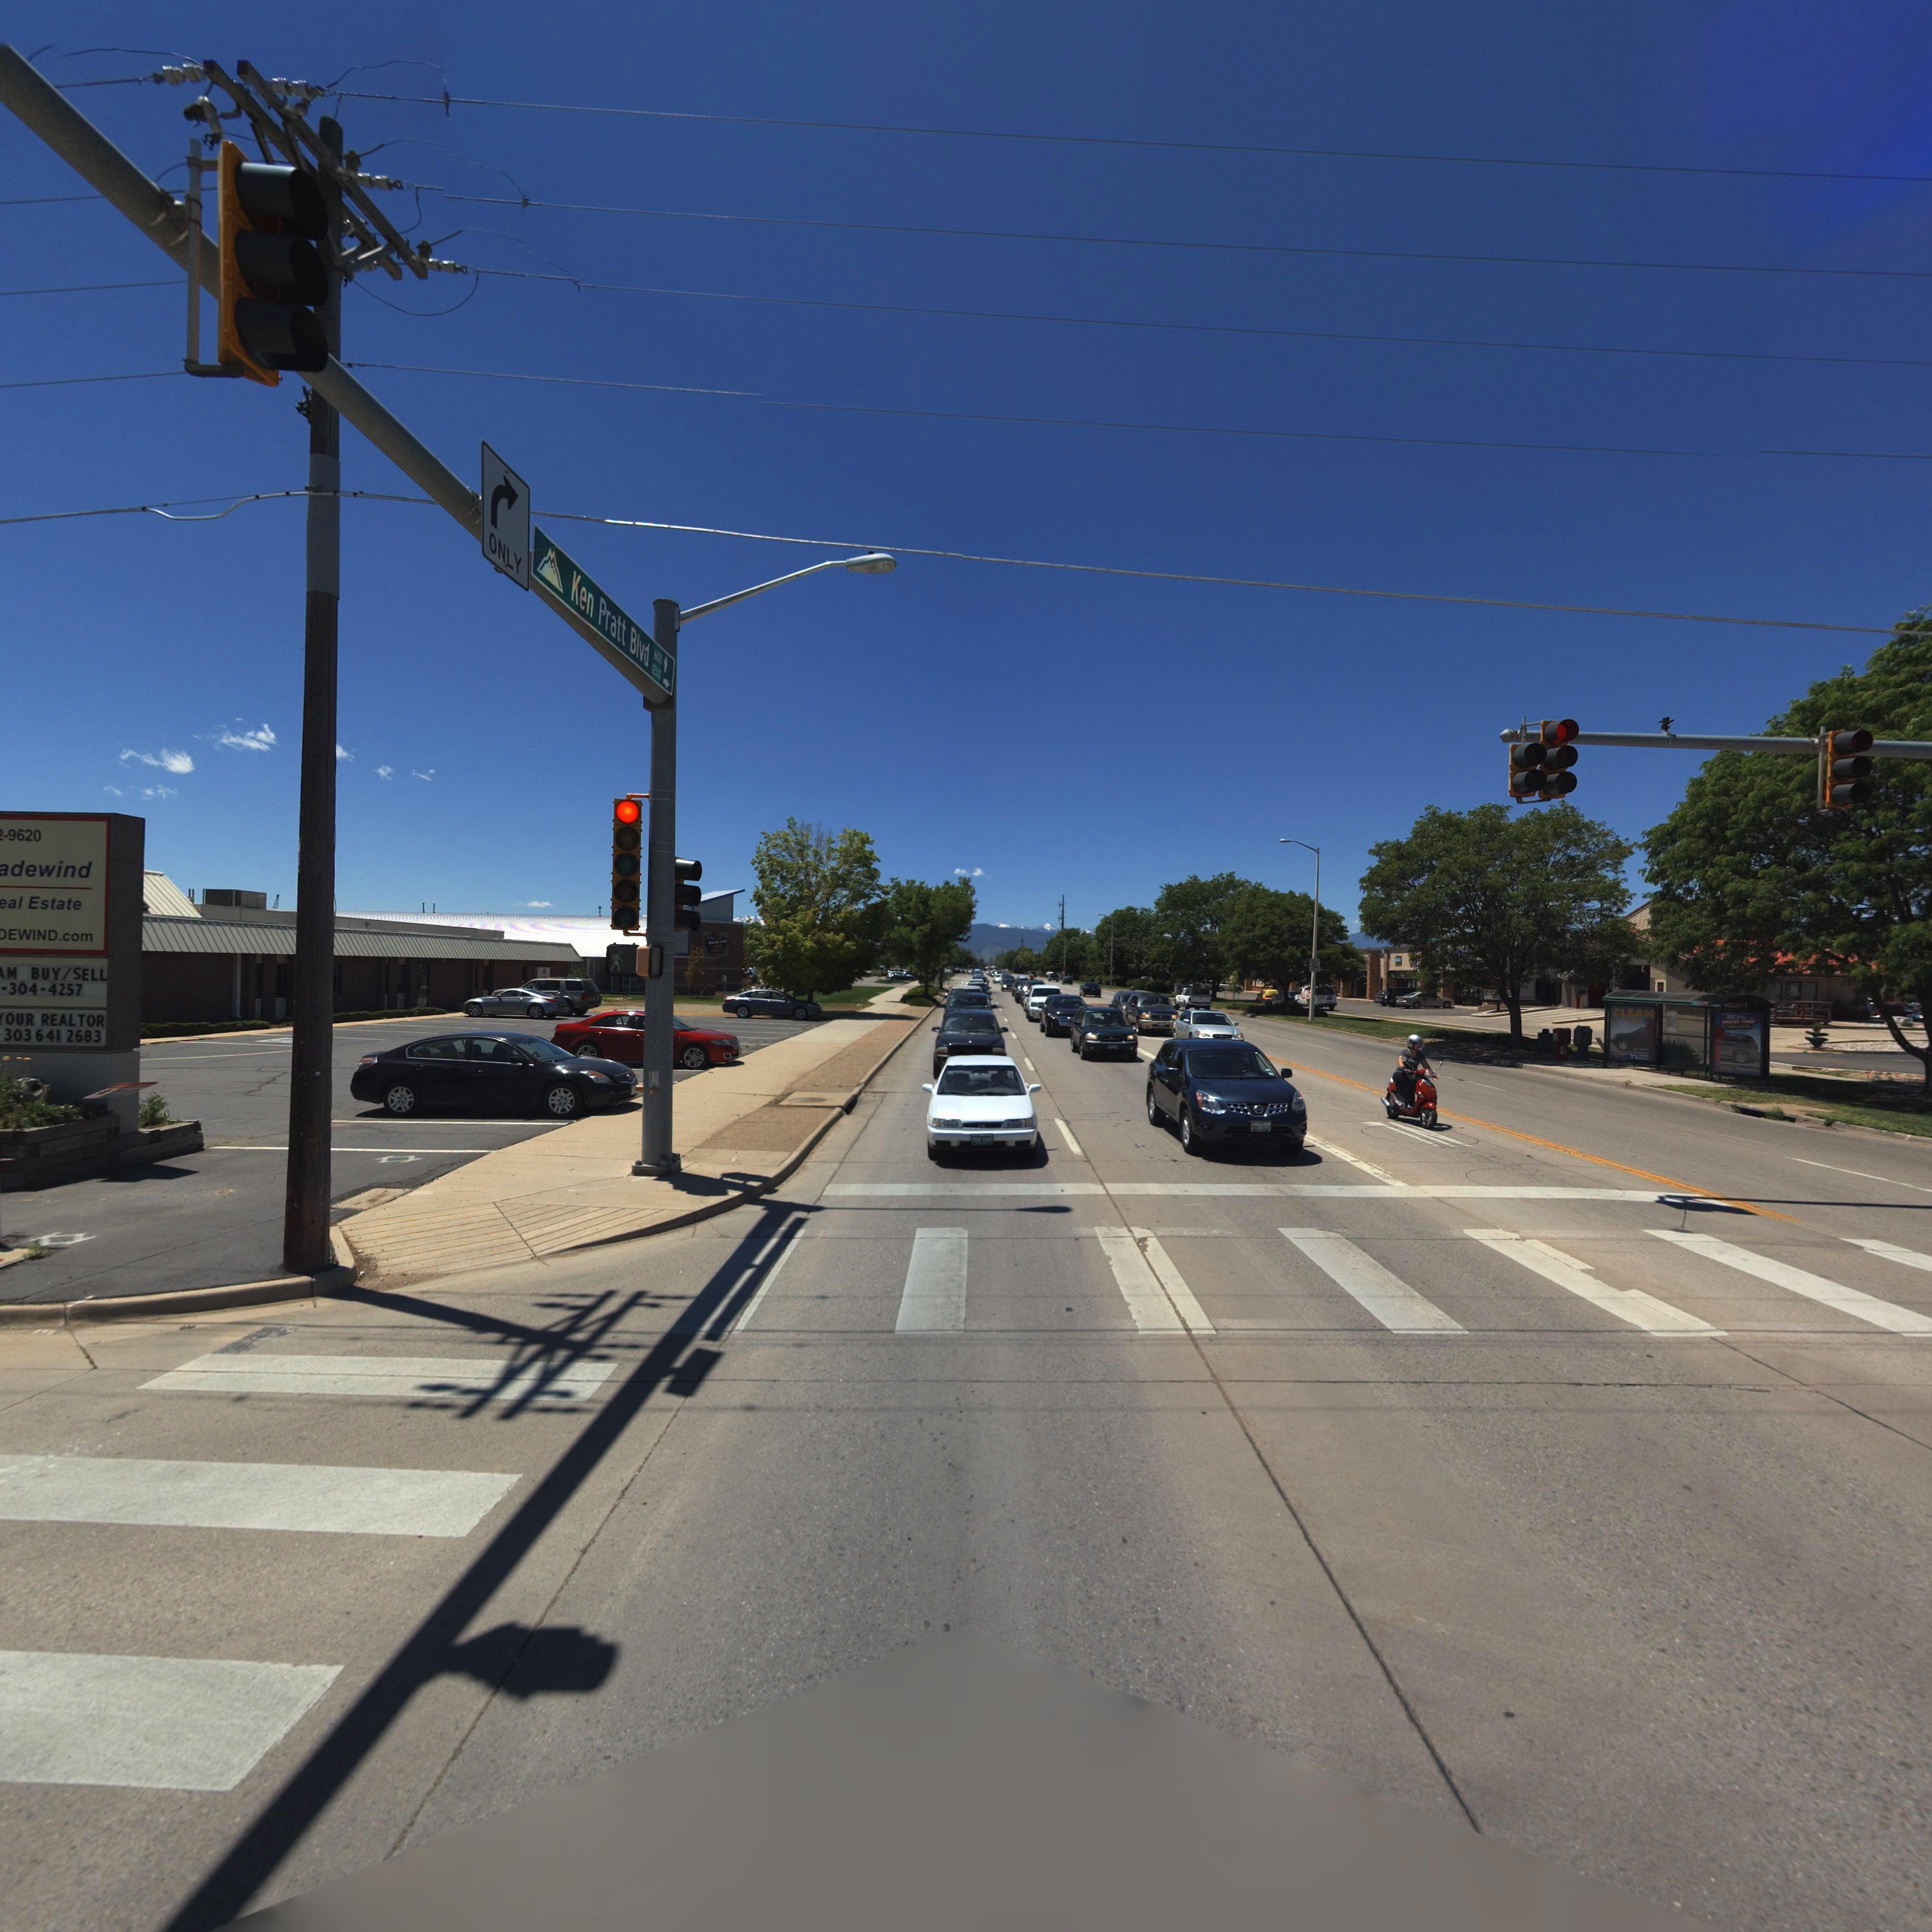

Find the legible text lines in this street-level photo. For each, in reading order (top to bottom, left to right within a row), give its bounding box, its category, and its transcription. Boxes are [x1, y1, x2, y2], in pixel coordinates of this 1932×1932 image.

[570, 569, 650, 668] StreetName: Ken Pratt Blvd
[654, 649, 662, 665] StreetNumberRange: 600
[651, 662, 670, 687] StreetNumberRange: 1200->
[9, 858, 94, 879] BusinessName: adewind
[6, 894, 83, 911] BusinessName: al Estate
[708, 939, 727, 944] BusinessName: B******